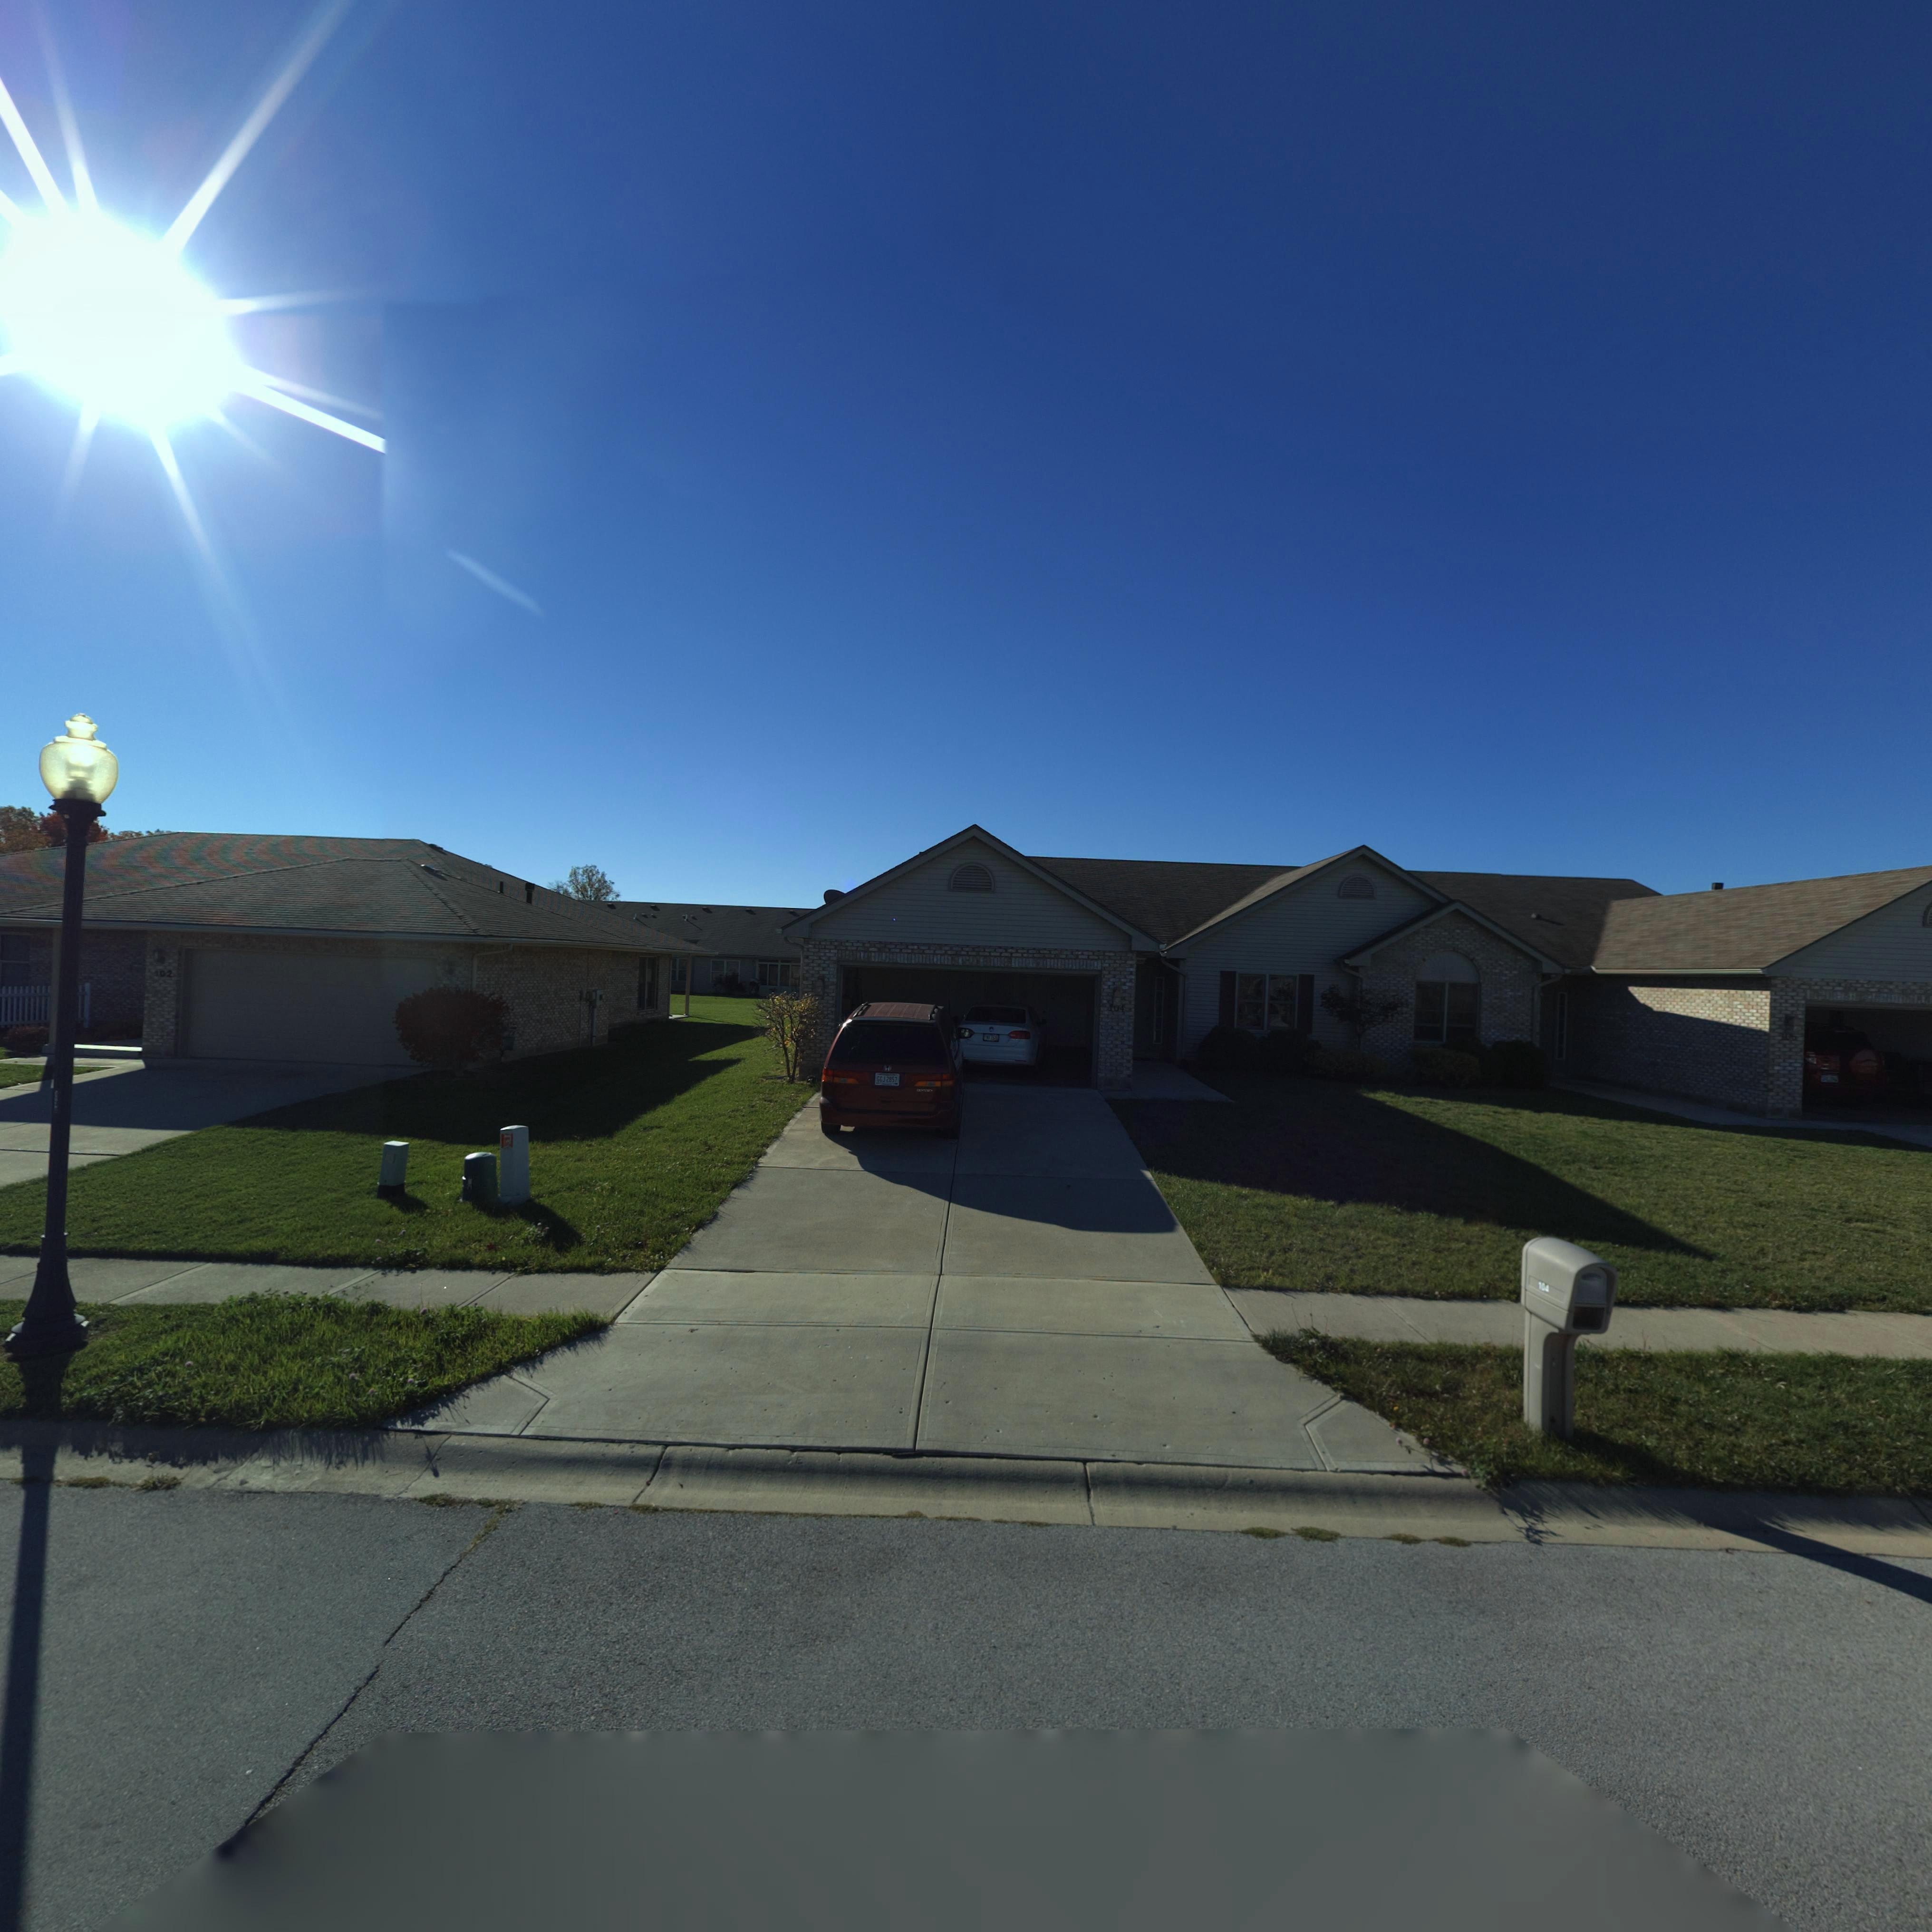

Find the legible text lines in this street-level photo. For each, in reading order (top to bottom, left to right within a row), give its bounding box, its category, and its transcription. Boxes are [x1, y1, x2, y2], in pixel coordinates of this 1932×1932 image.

[153, 968, 174, 979] StreetNumber: 102
[1109, 1004, 1126, 1013] StreetNumber: 104
[1537, 1279, 1551, 1295] StreetNumber: 104